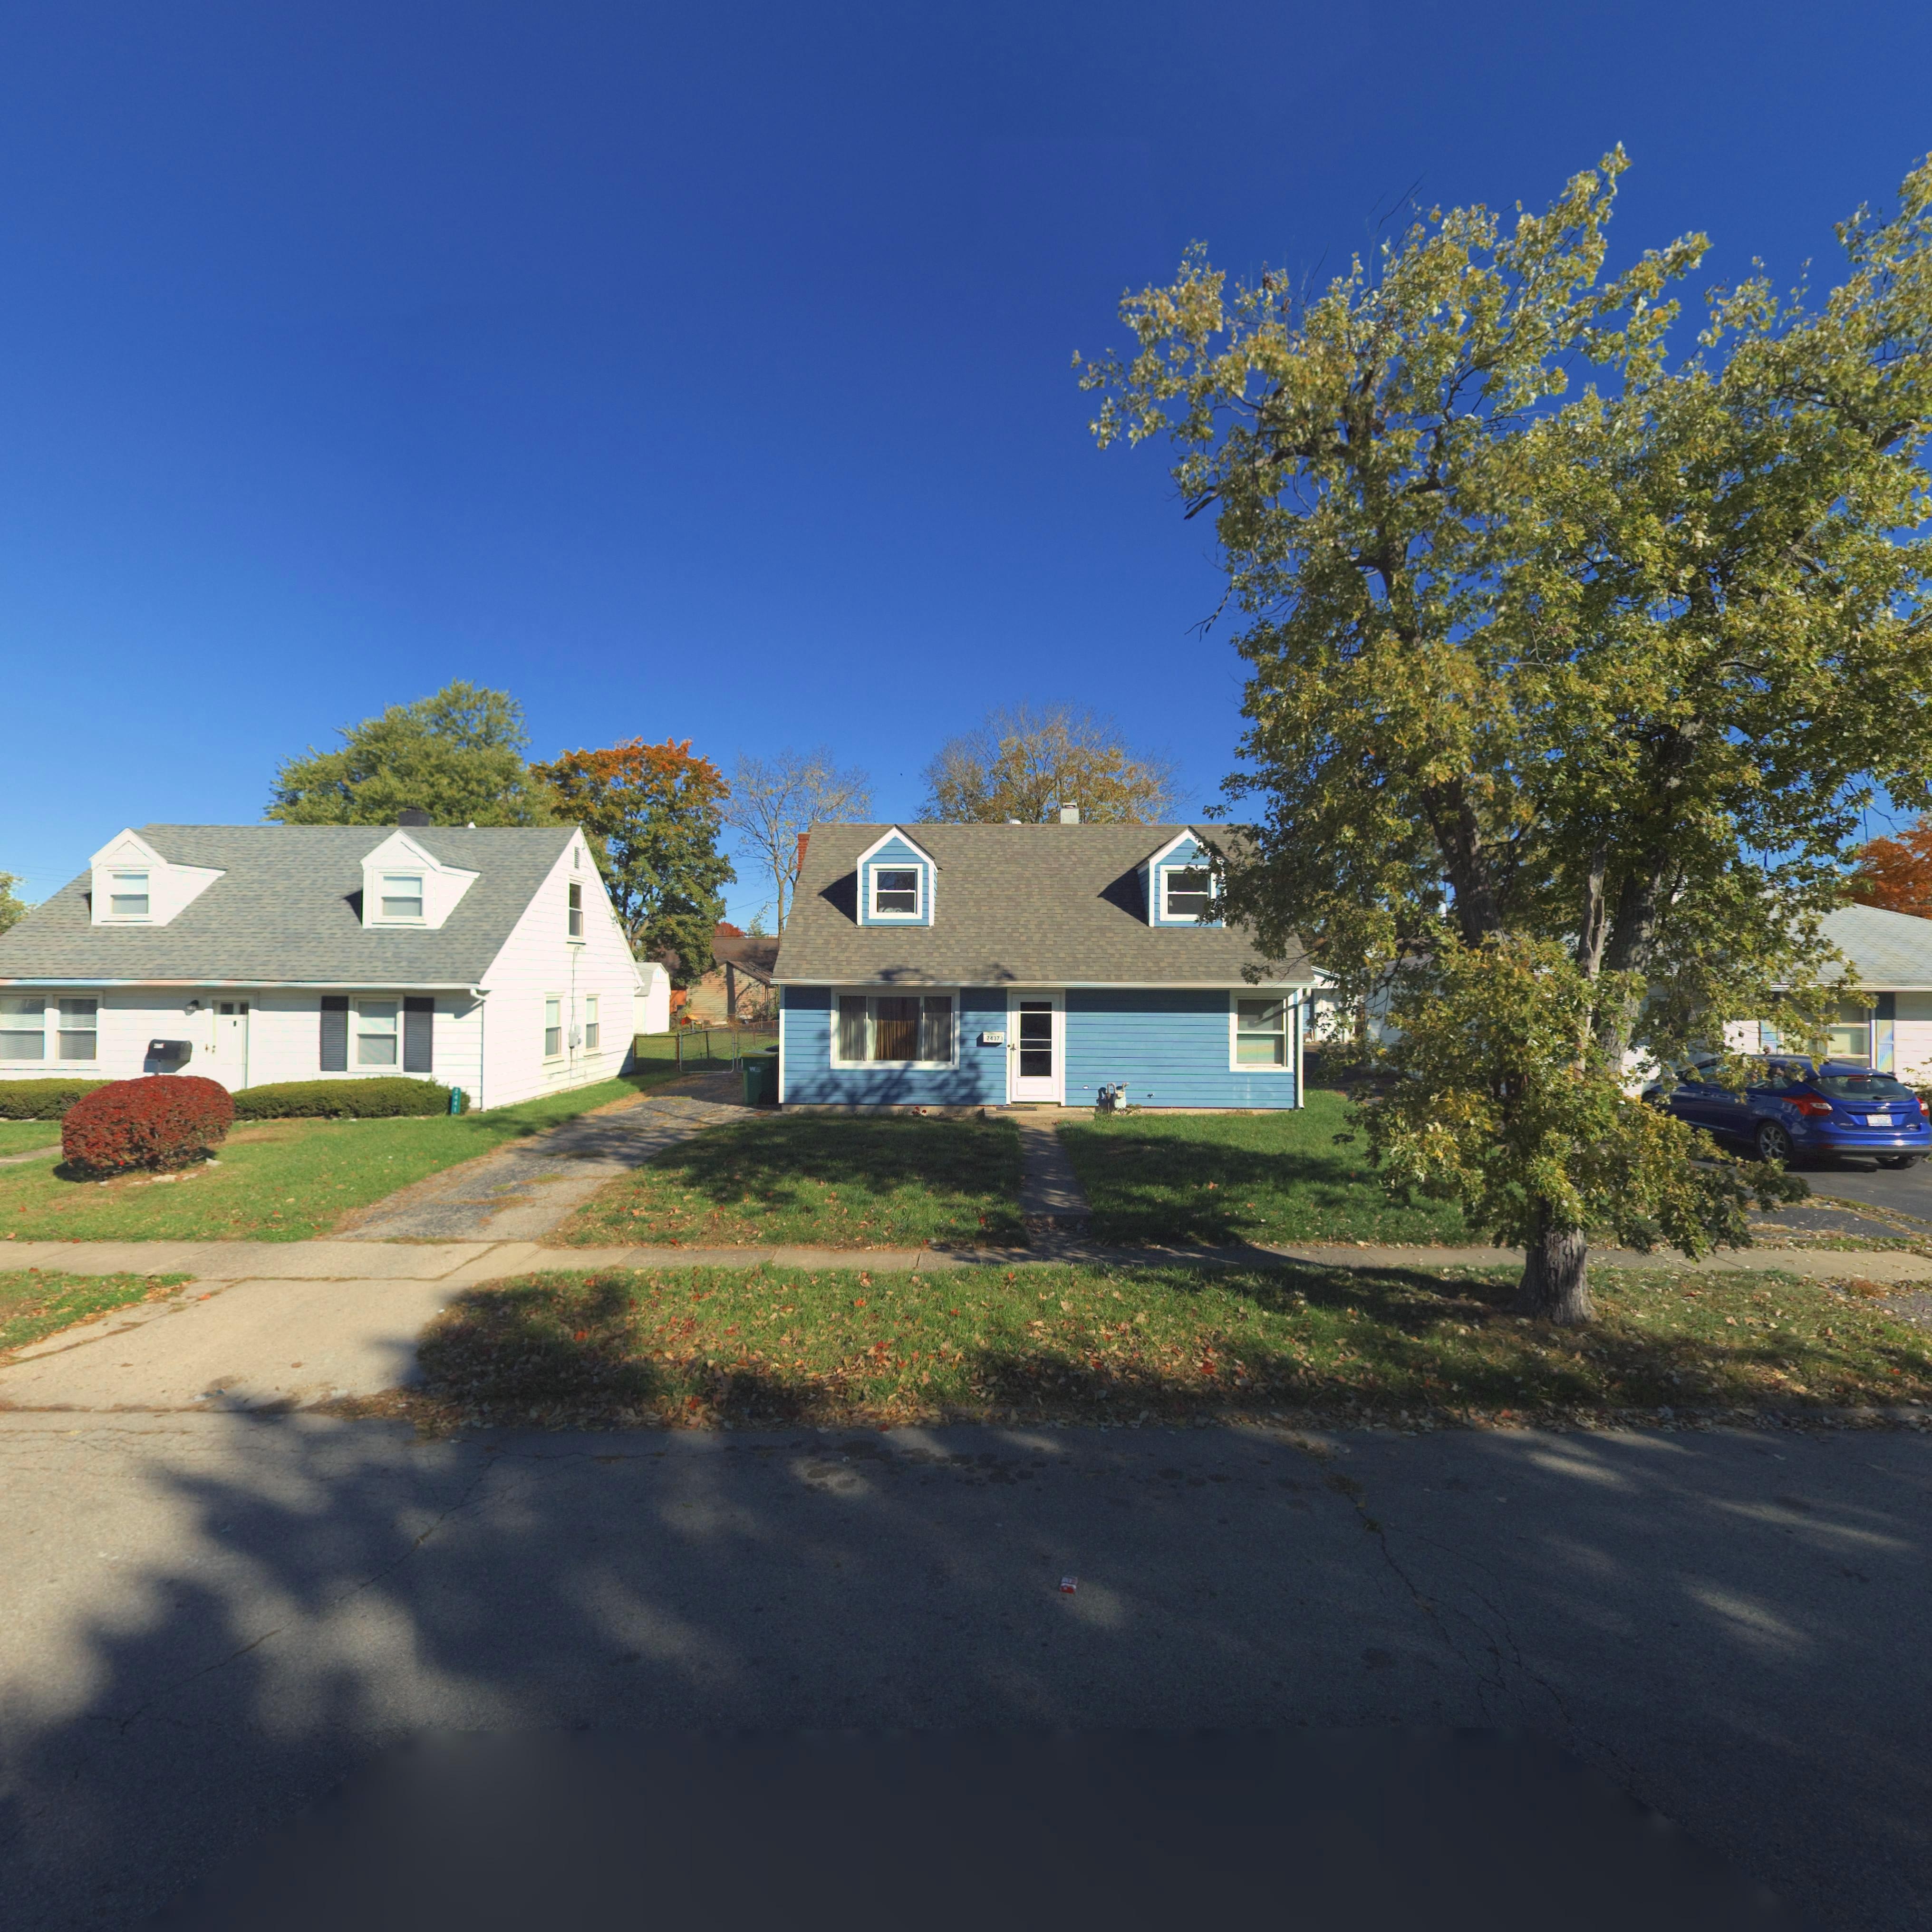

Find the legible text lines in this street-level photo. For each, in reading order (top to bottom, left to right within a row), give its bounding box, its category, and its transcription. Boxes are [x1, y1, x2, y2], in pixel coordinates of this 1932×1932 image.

[986, 1035, 1000, 1041] StreetNumber: 2437
[452, 1087, 460, 1114] StreetNumber: 2441